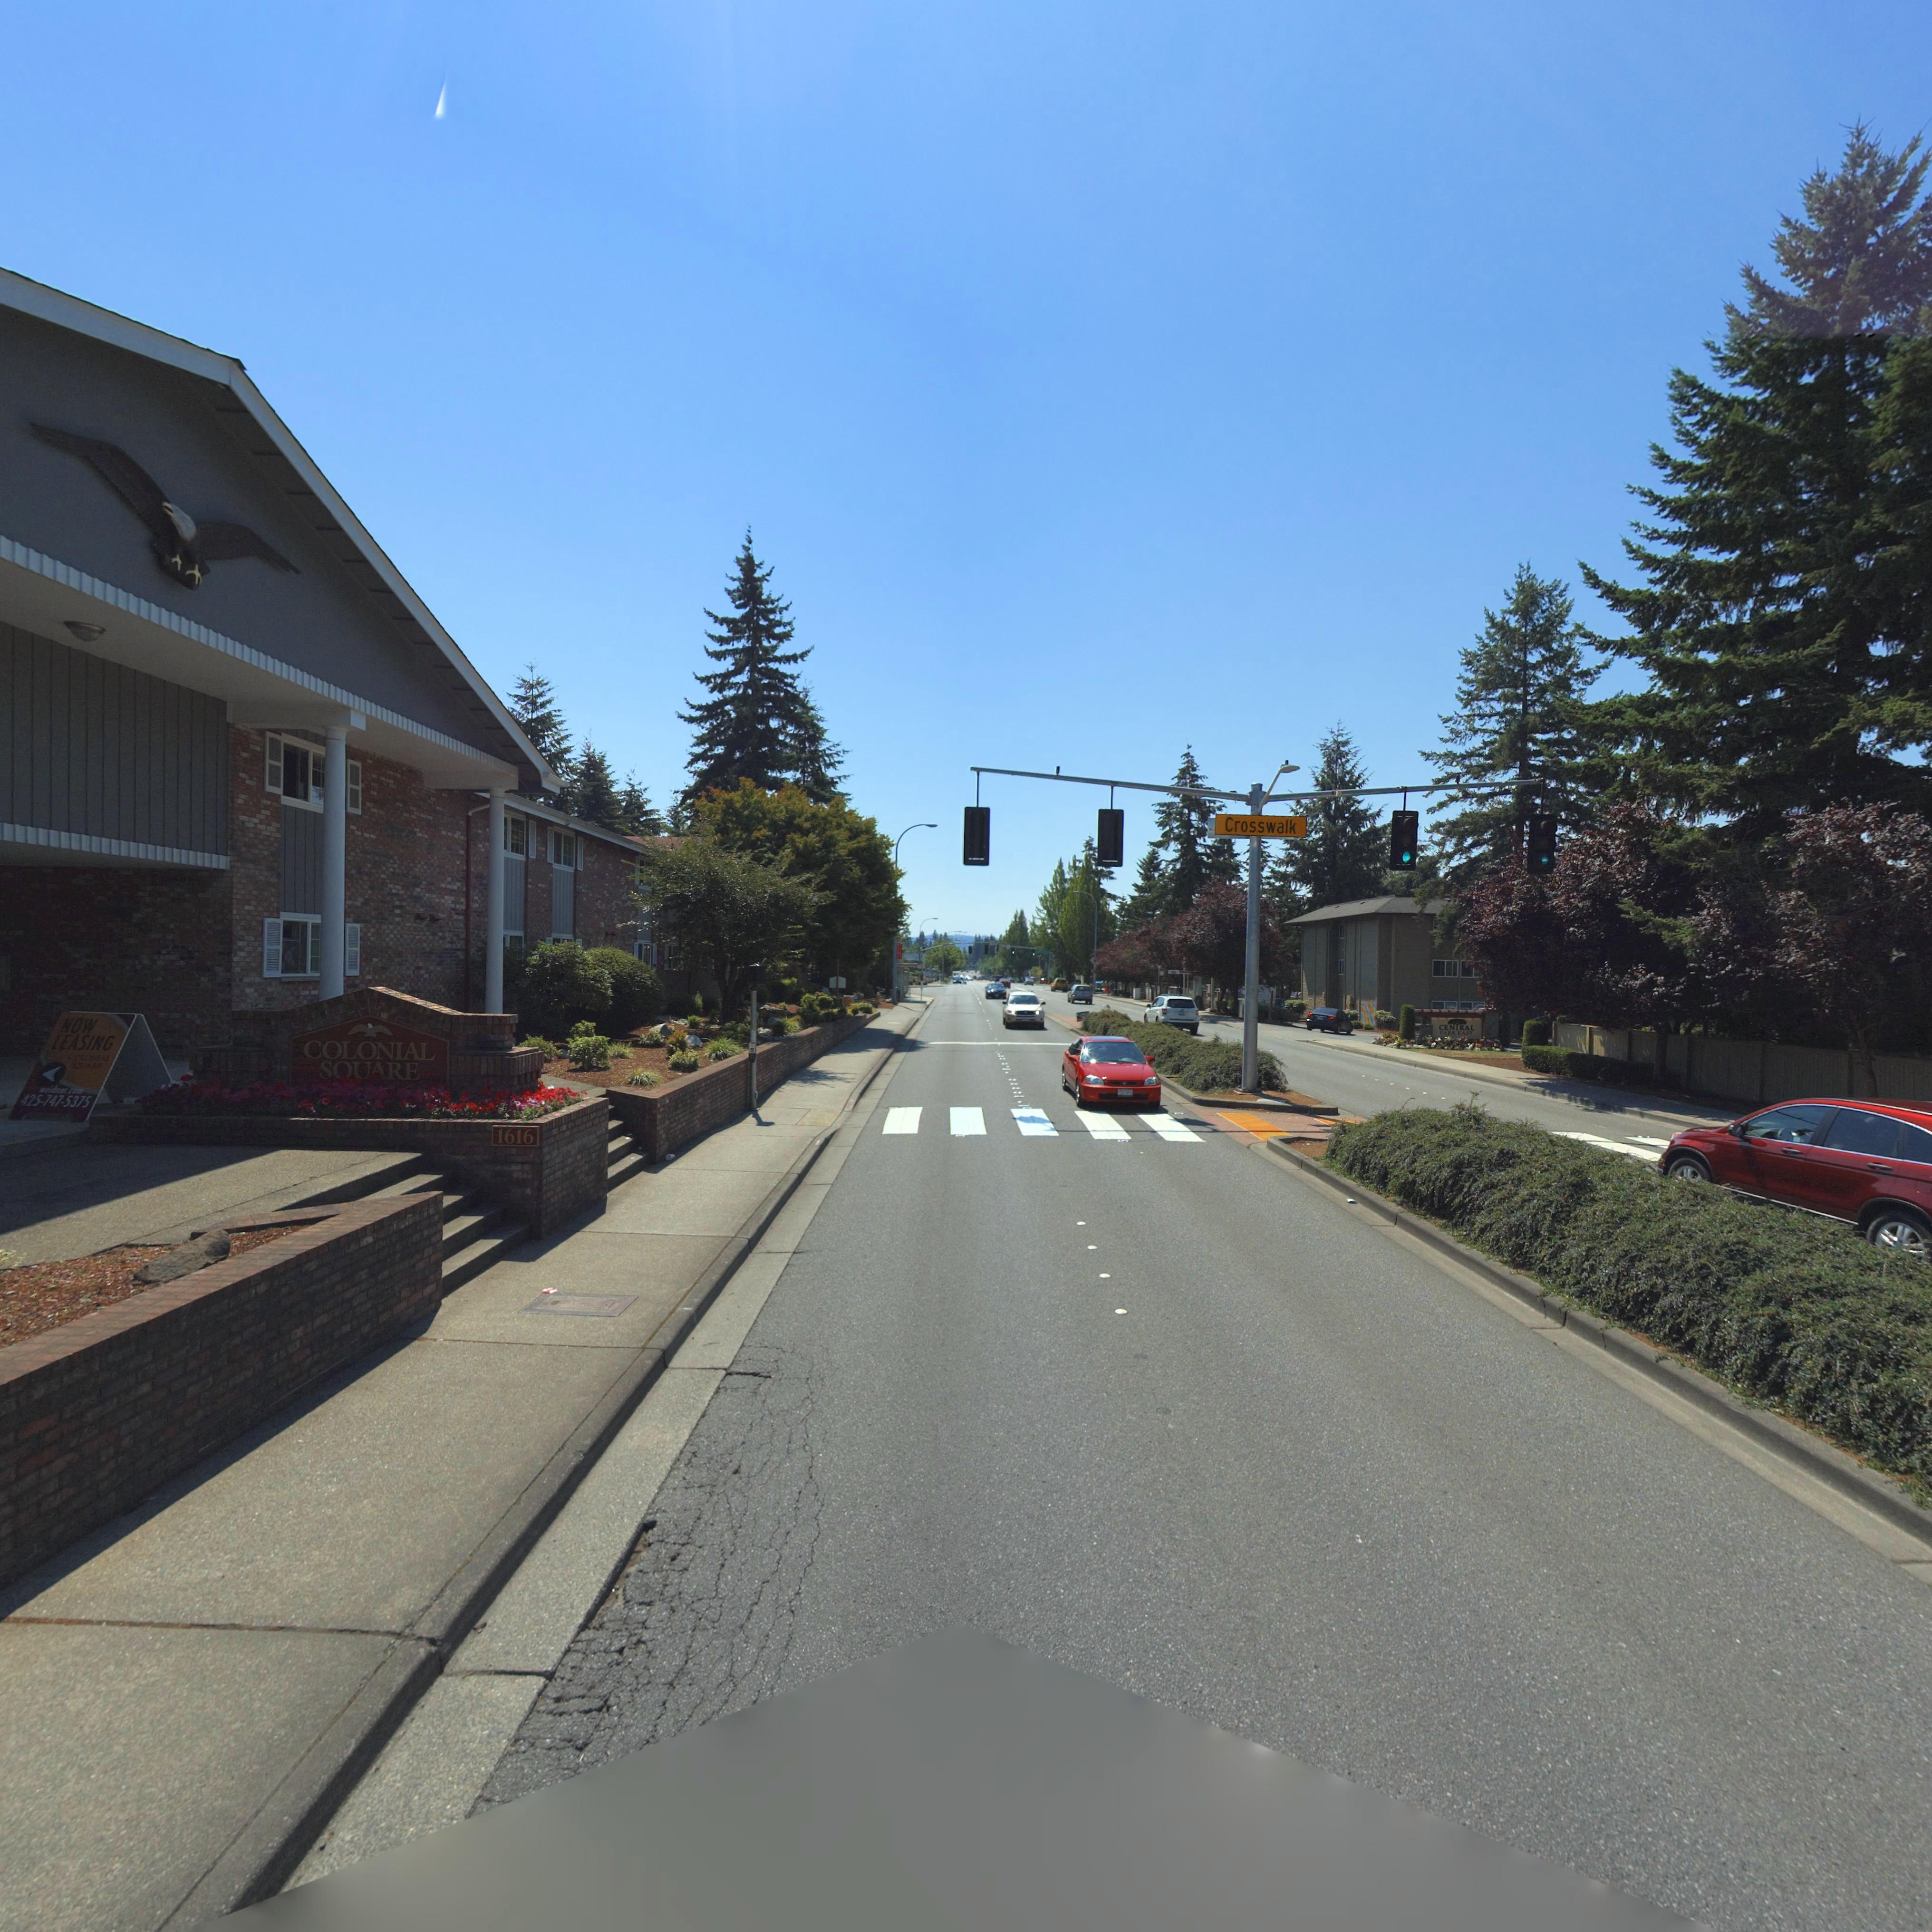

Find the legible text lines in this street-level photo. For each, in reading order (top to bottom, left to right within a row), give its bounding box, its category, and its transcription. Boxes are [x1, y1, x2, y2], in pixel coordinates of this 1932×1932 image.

[1439, 1019, 1475, 1030] BusinessName: CEN*RAL
[1440, 1031, 1472, 1034] BusinessName: PARK EAST
[304, 1041, 436, 1060] None: COLONIAL
[319, 1062, 418, 1080] BusinessName: S*U*RE
[497, 1129, 533, 1144] StreetNumber: 1616